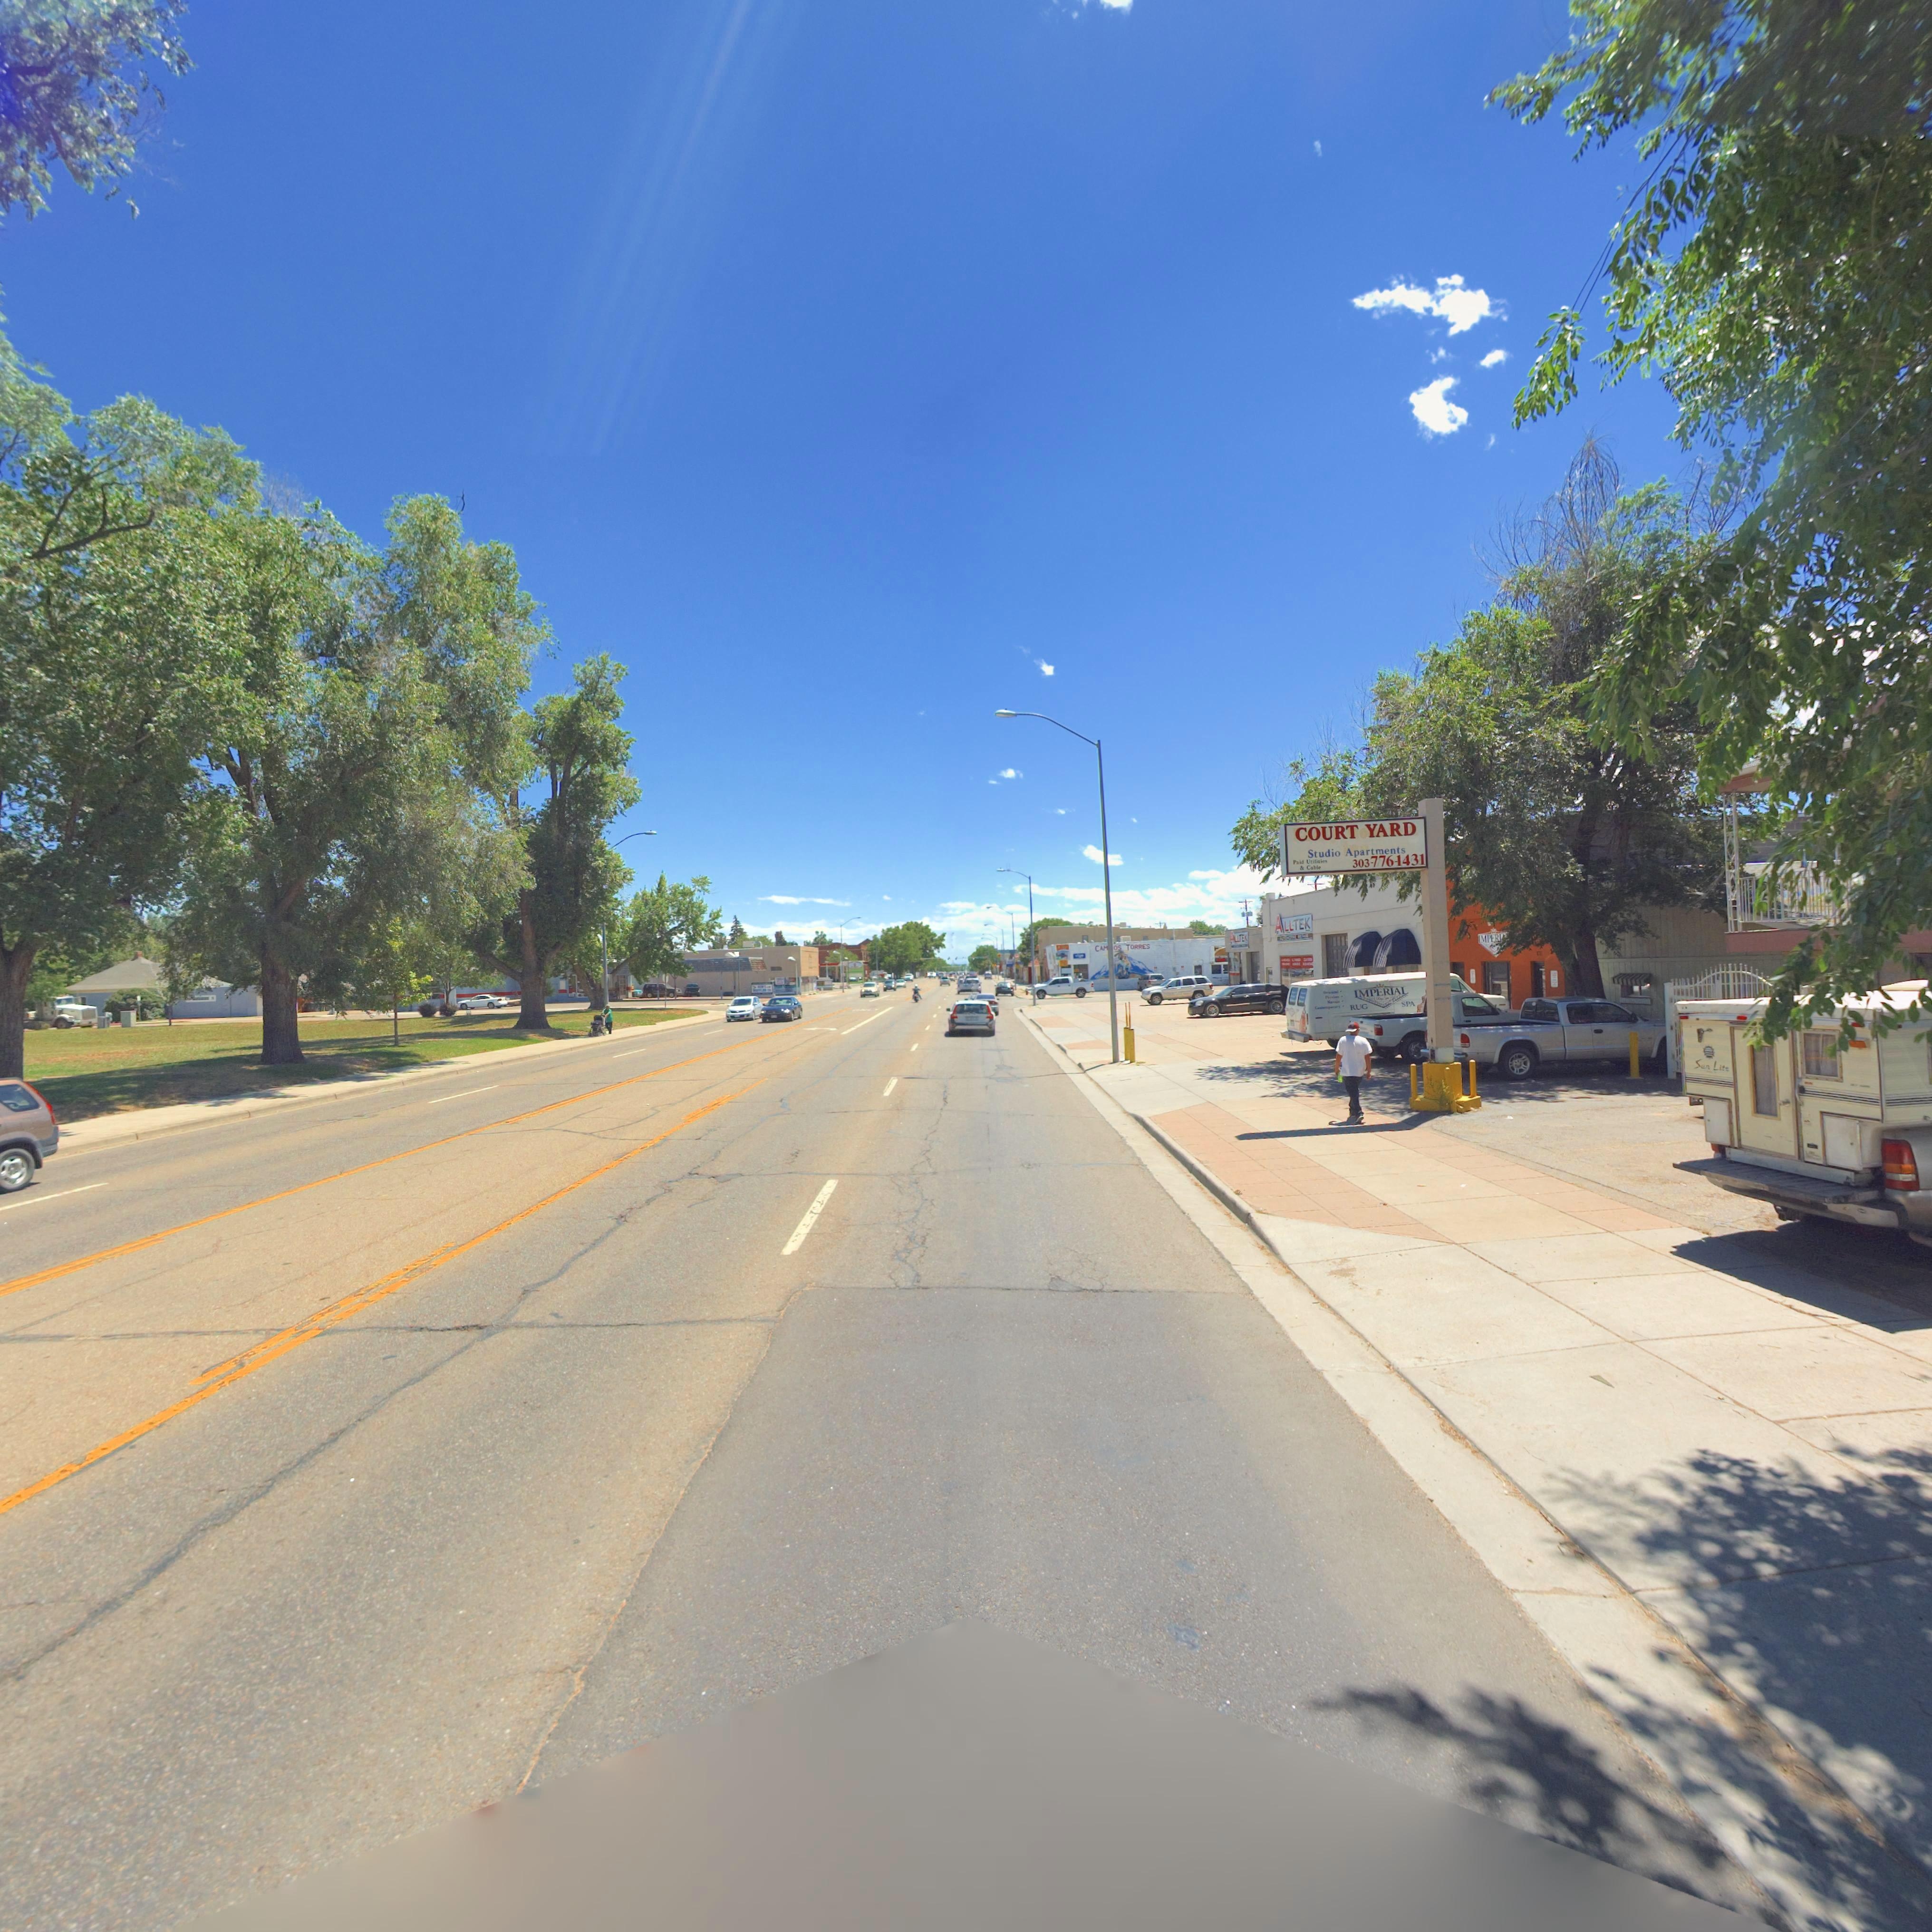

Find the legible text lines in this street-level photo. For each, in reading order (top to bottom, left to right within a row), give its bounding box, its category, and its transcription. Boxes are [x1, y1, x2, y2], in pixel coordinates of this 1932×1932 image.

[1295, 821, 1416, 841] BusinessName: COURT YARD
[1307, 846, 1406, 858] BusinessName: Studio Apartments
[1274, 914, 1311, 934] BusinessName: ALLTEK
[1228, 930, 1248, 944] BusinessName: ALLTEK
[1277, 933, 1309, 941] BusinessName: AUTOMOTIVE REPAIR
[1478, 933, 1501, 943] BusinessName: IMPERI
[1095, 943, 1150, 952] BusinessName: CAM**OS TORRES